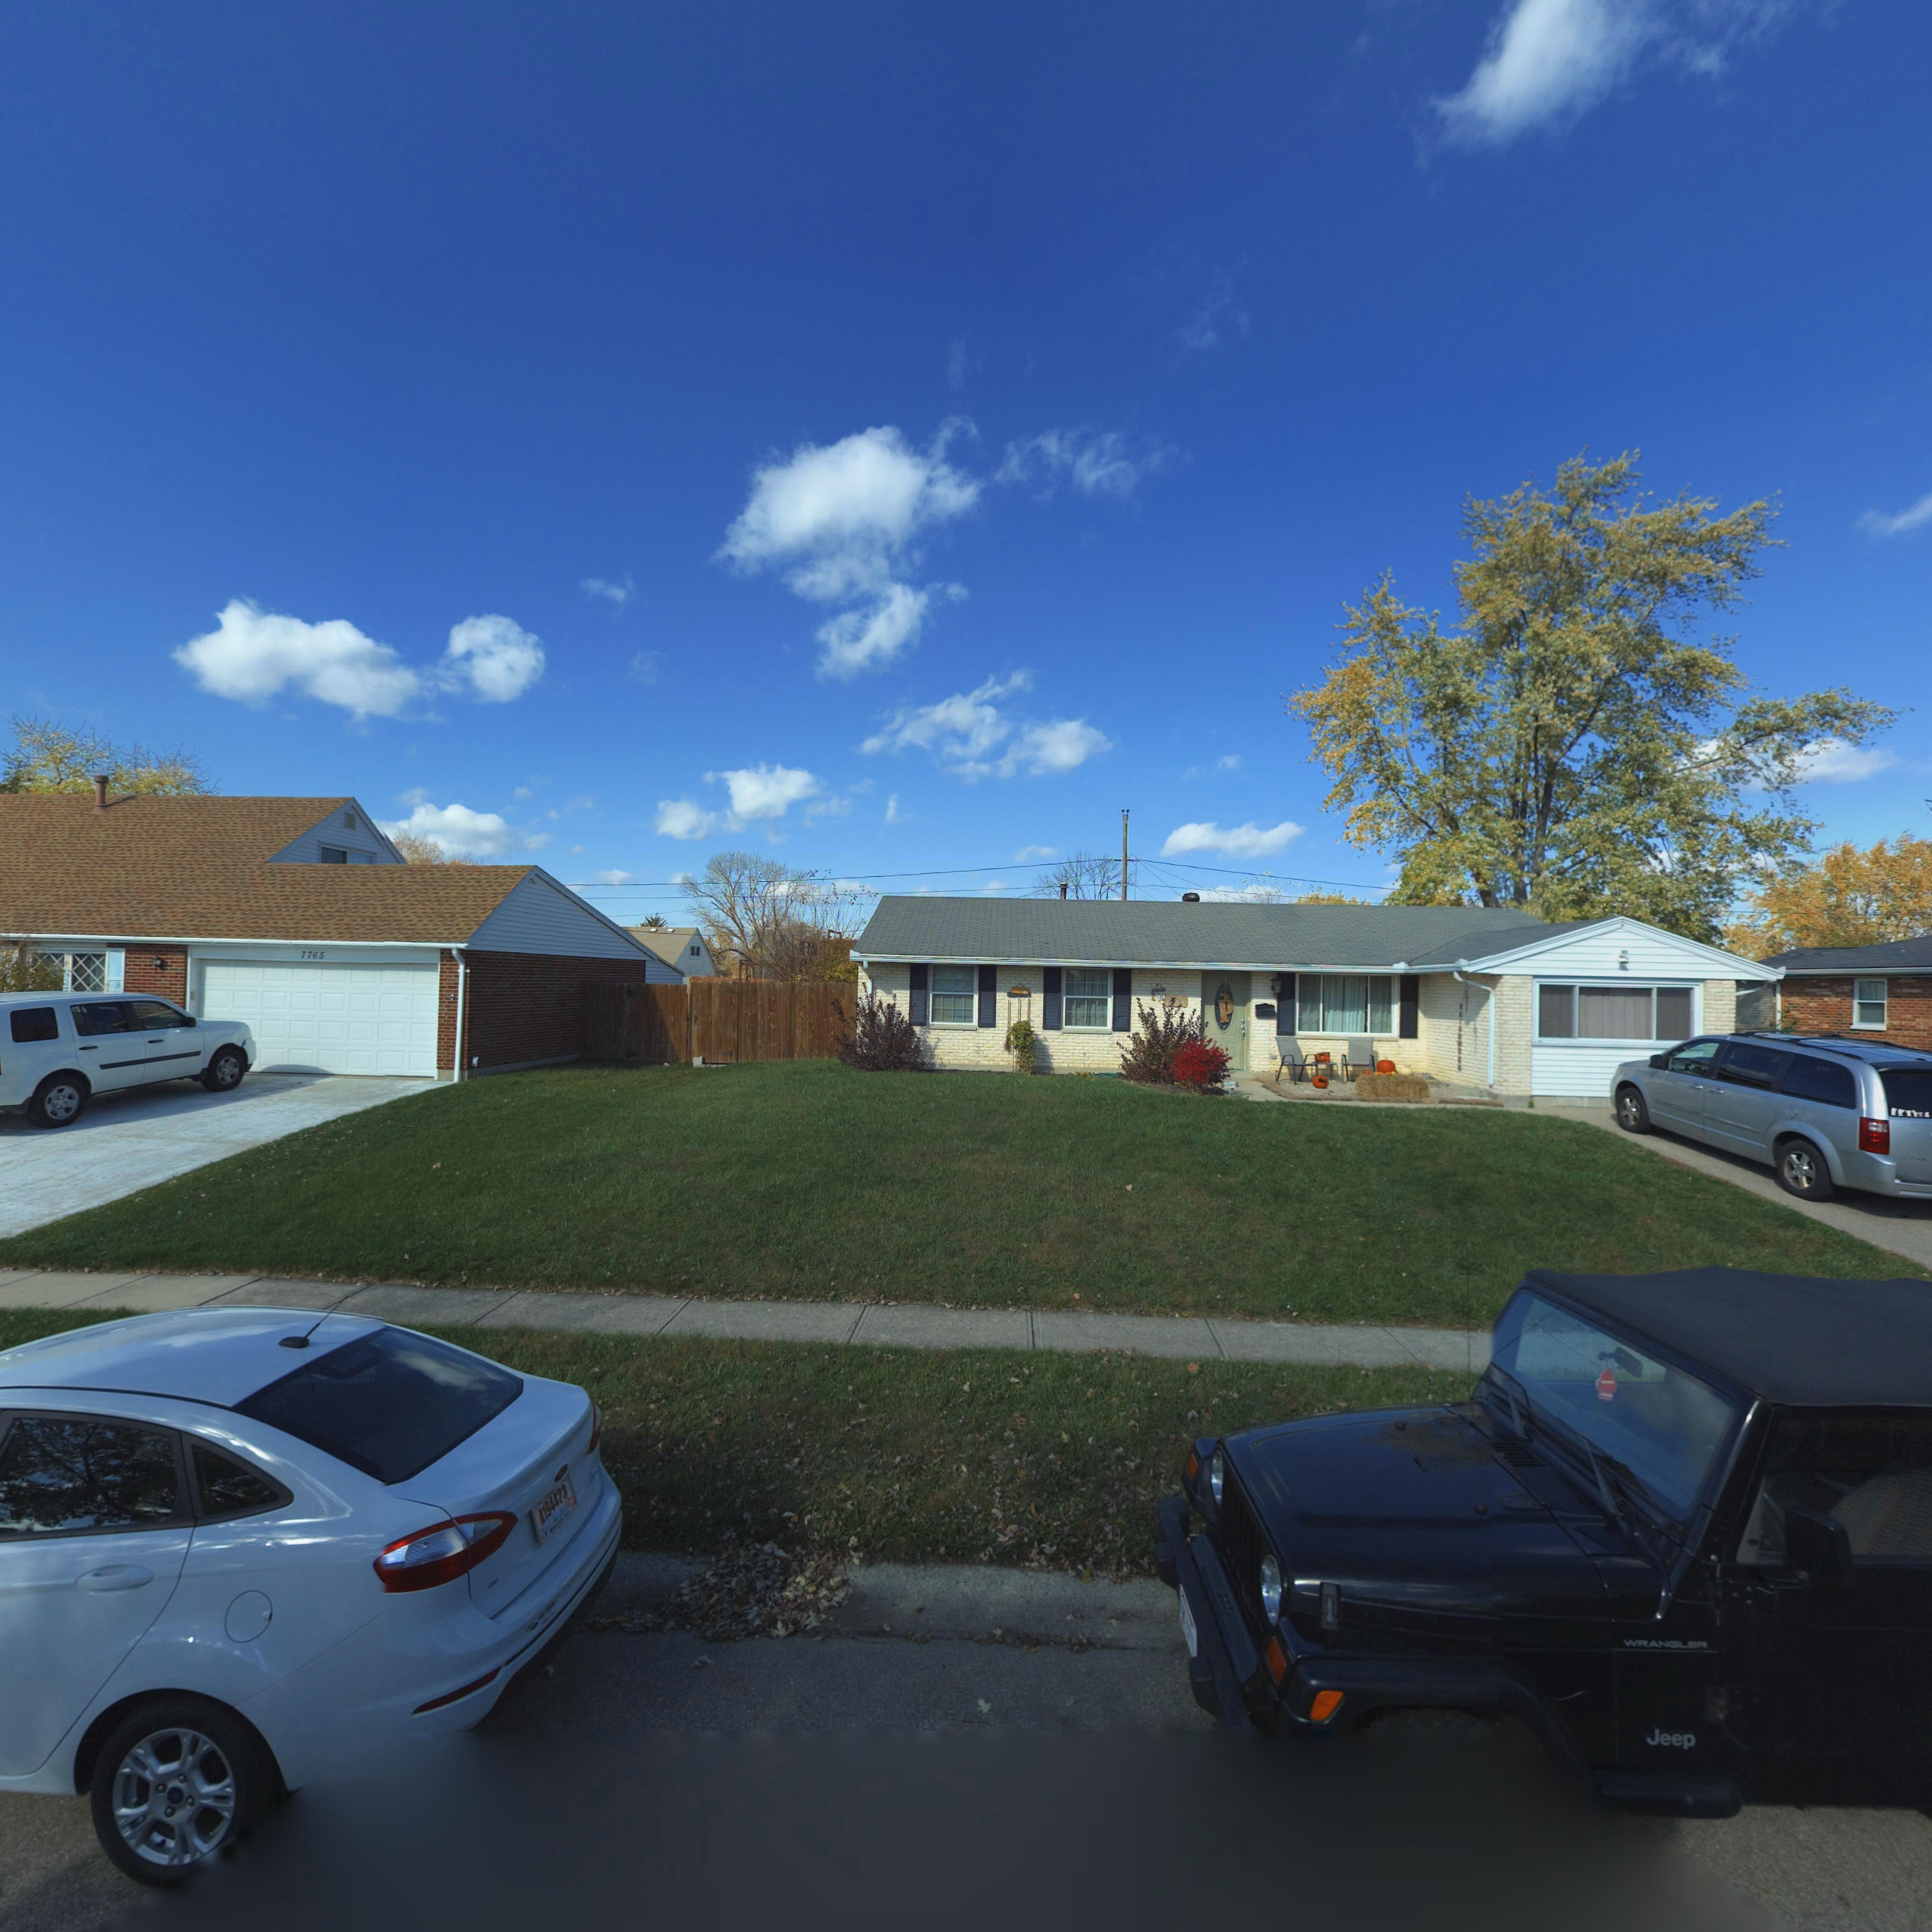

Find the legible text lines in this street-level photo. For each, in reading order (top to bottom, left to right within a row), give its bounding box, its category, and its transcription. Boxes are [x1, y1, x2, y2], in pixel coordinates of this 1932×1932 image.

[300, 950, 325, 960] StreetNumber: 7765
[1166, 997, 1186, 1006] StreetNumber: 7*71